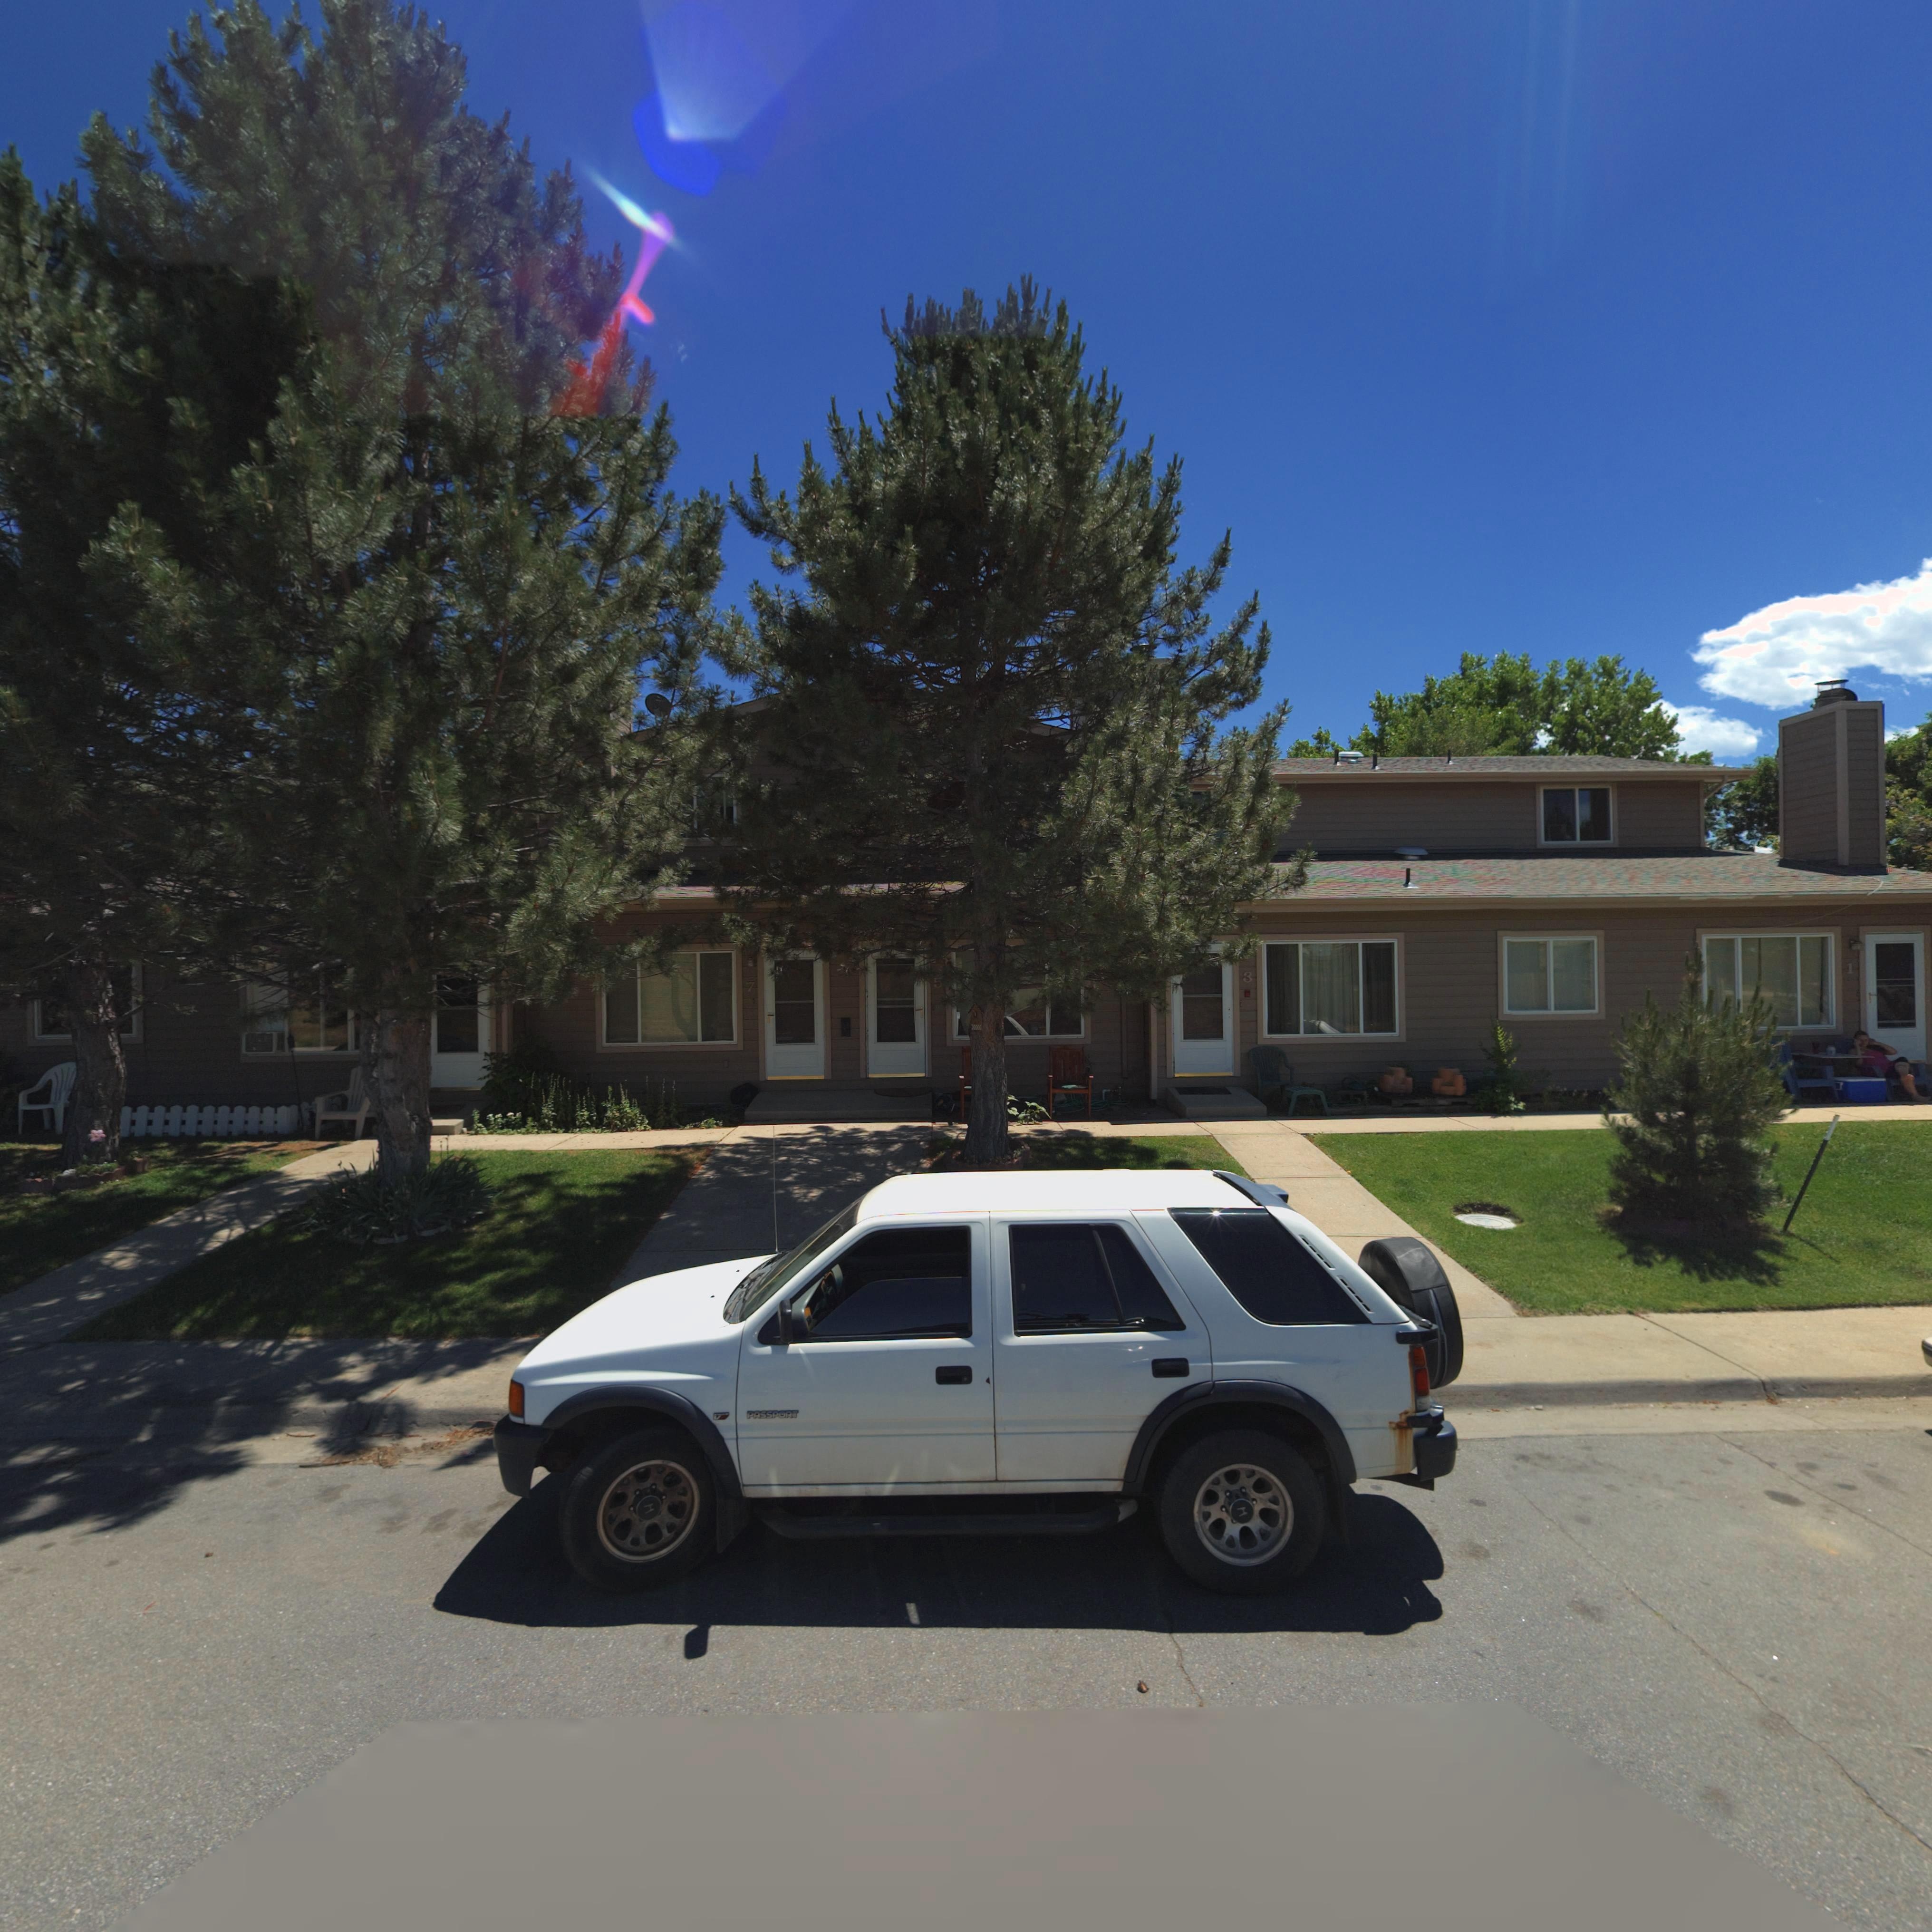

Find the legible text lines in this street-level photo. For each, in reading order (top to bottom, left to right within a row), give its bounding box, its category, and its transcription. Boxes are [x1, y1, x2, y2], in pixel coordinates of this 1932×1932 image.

[1846, 961, 1854, 974] StreetNumber: 1
[745, 981, 755, 992] StreetNumber: 7
[933, 977, 942, 988] StreetNumber: 5
[1242, 970, 1253, 983] StreetNumber: 3